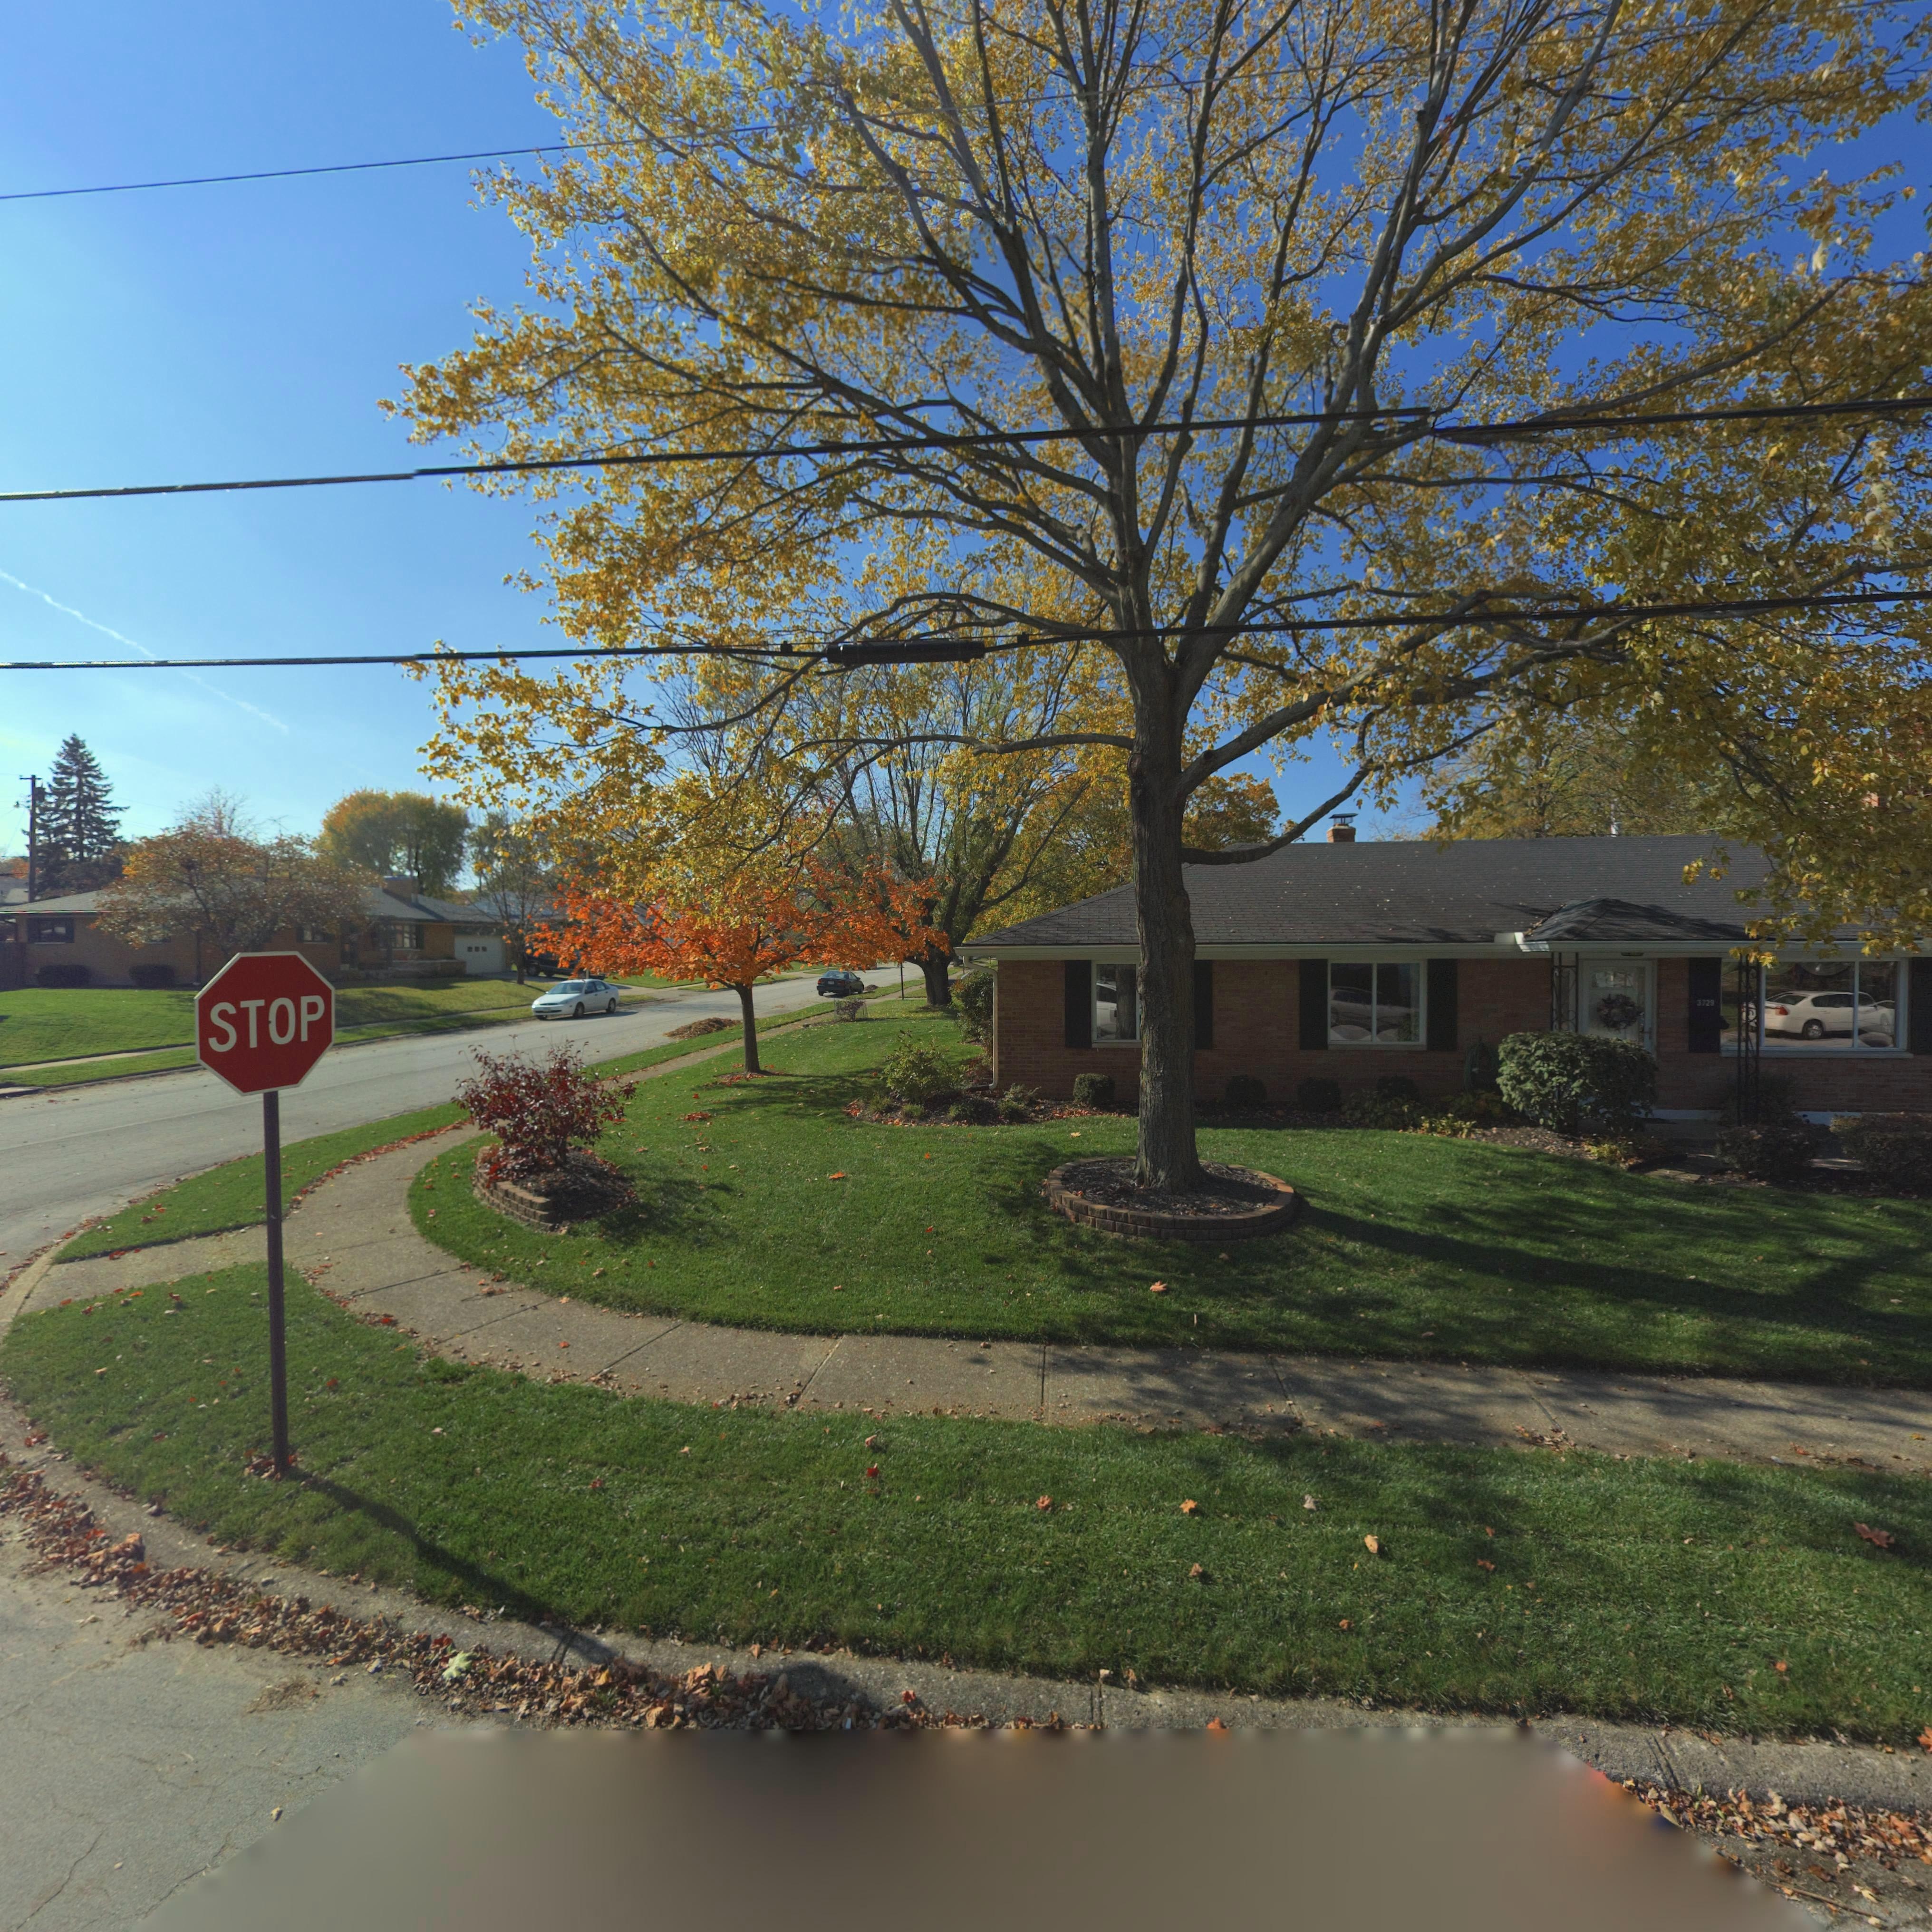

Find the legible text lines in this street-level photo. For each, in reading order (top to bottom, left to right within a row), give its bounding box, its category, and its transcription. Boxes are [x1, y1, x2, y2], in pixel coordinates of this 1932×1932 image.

[207, 993, 327, 1055] None: STOP
[1696, 998, 1715, 1006] StreetNumber: 3729